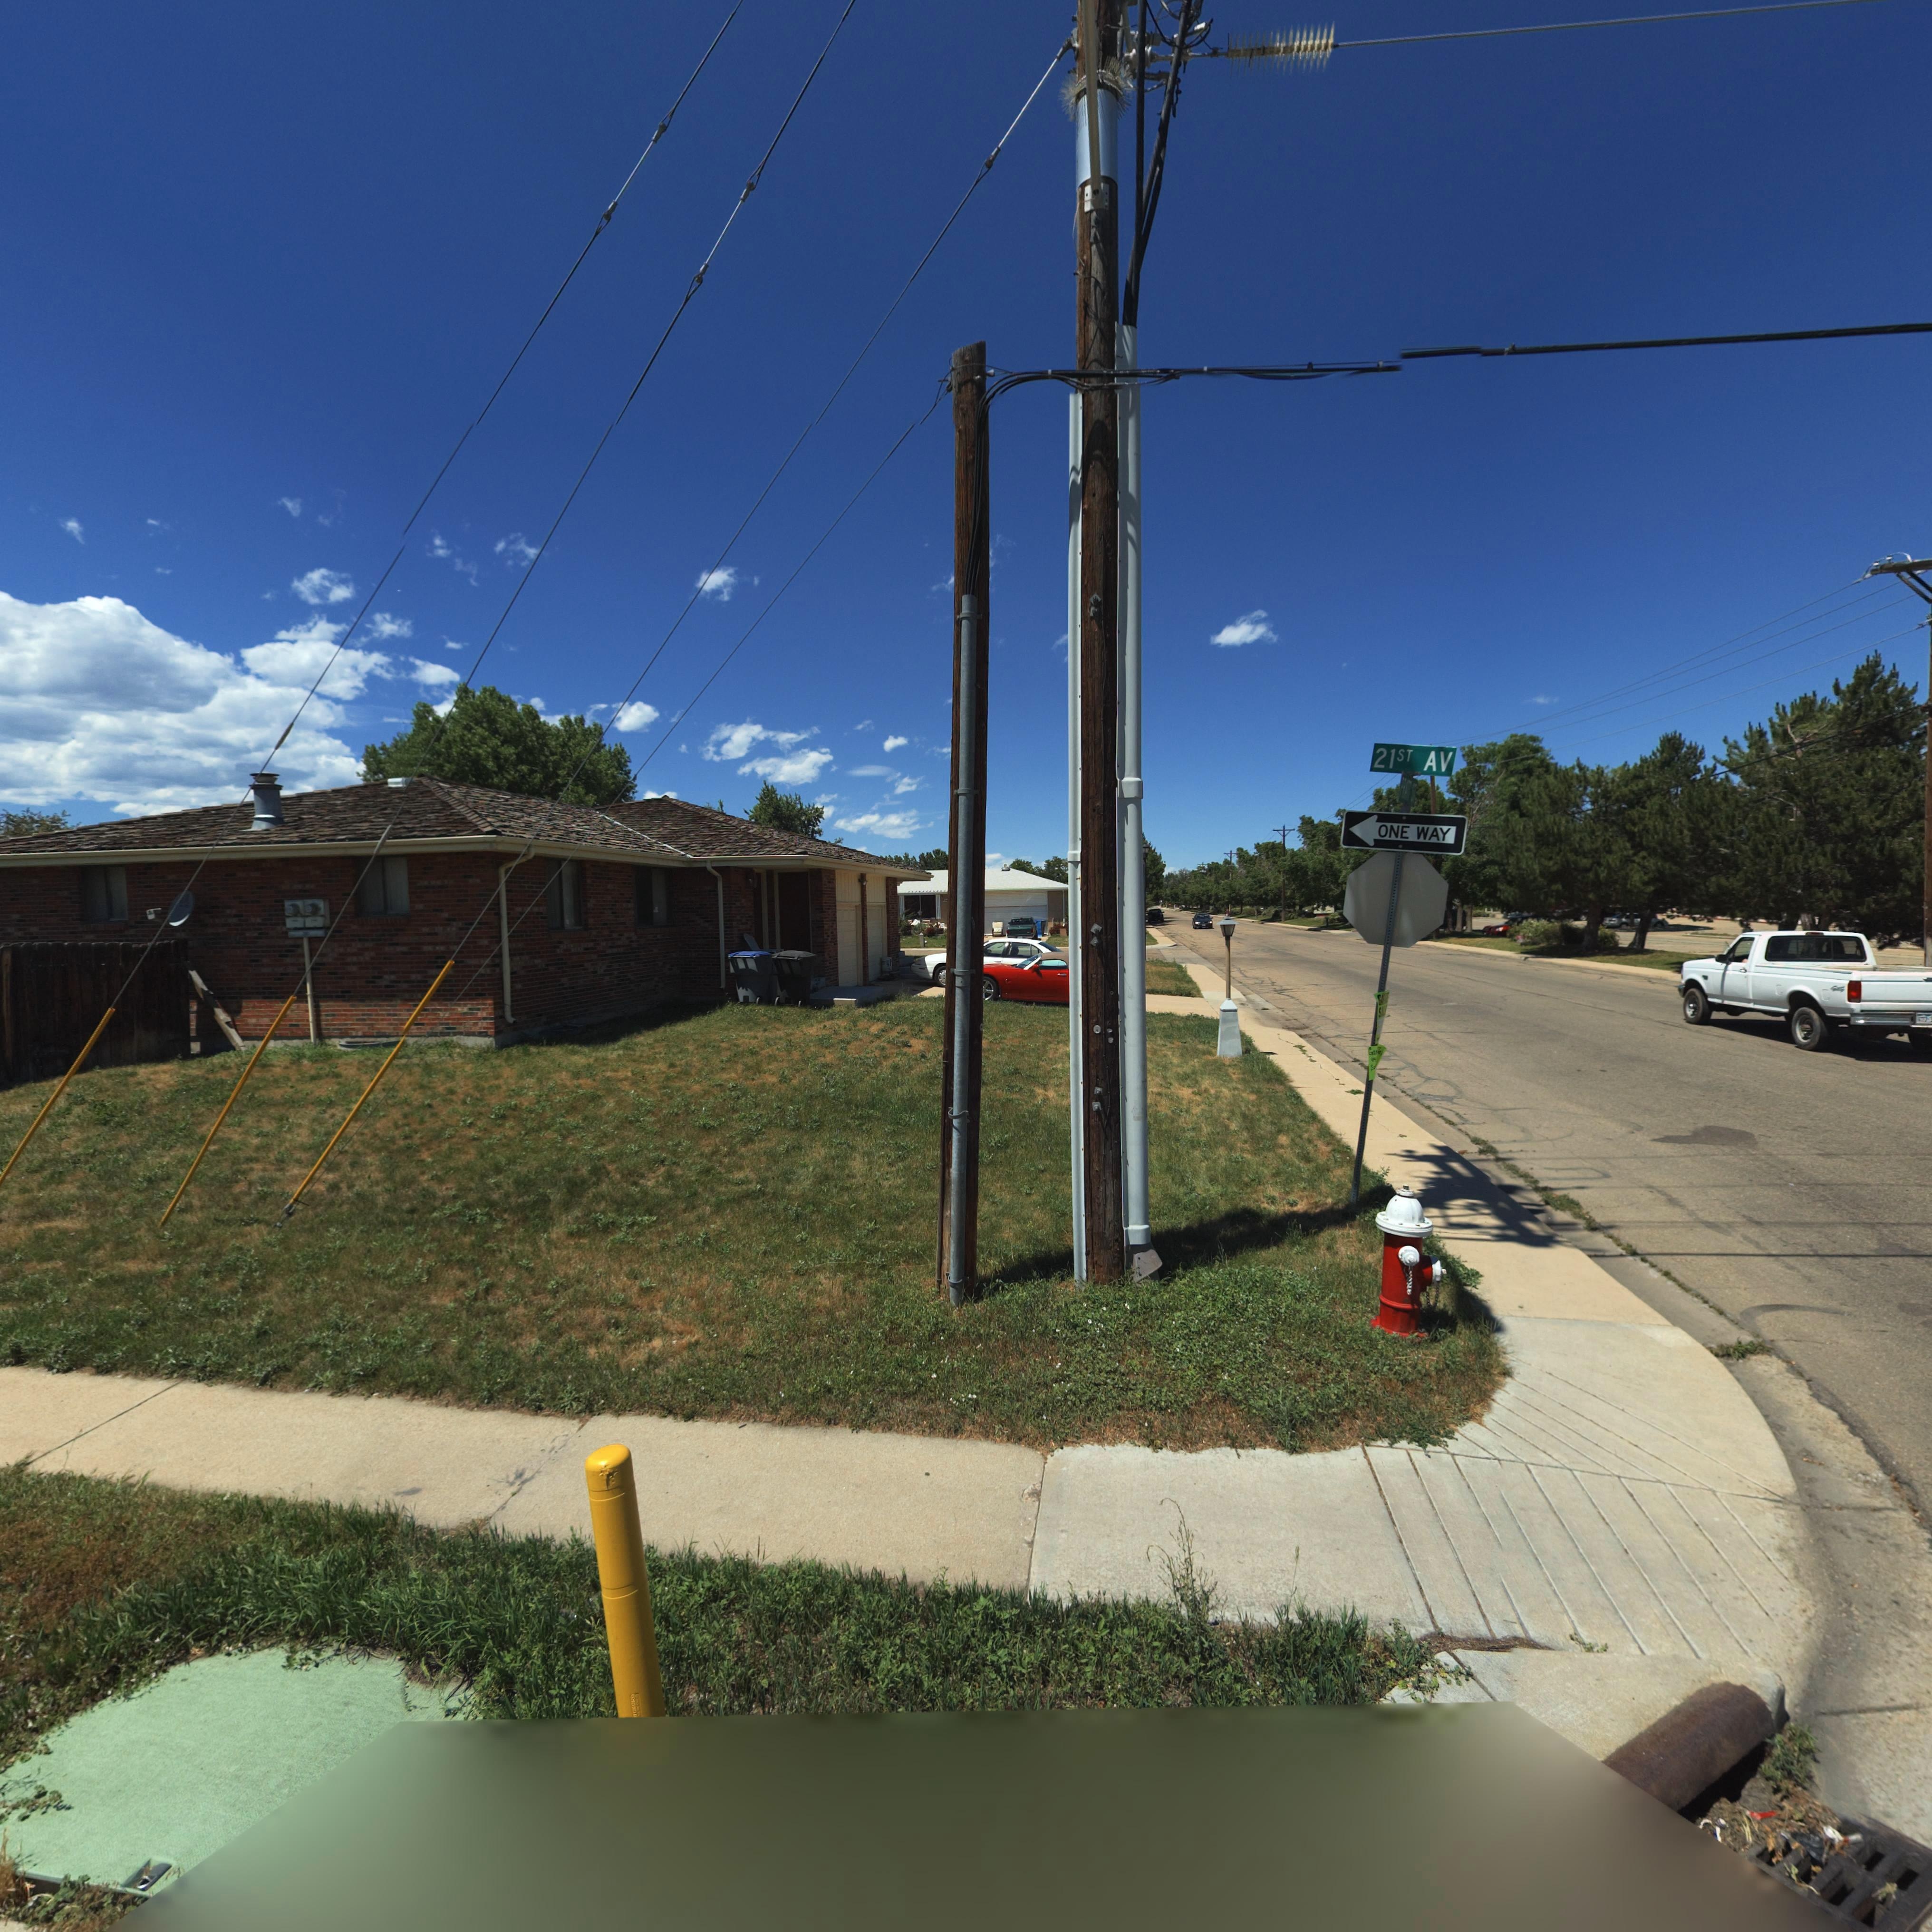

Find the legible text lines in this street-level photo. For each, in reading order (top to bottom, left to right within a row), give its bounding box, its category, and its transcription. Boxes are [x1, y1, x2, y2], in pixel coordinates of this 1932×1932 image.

[1372, 746, 1454, 773] StreetName: 21ST AV
[1398, 775, 1418, 804] StreetName: ***** S*